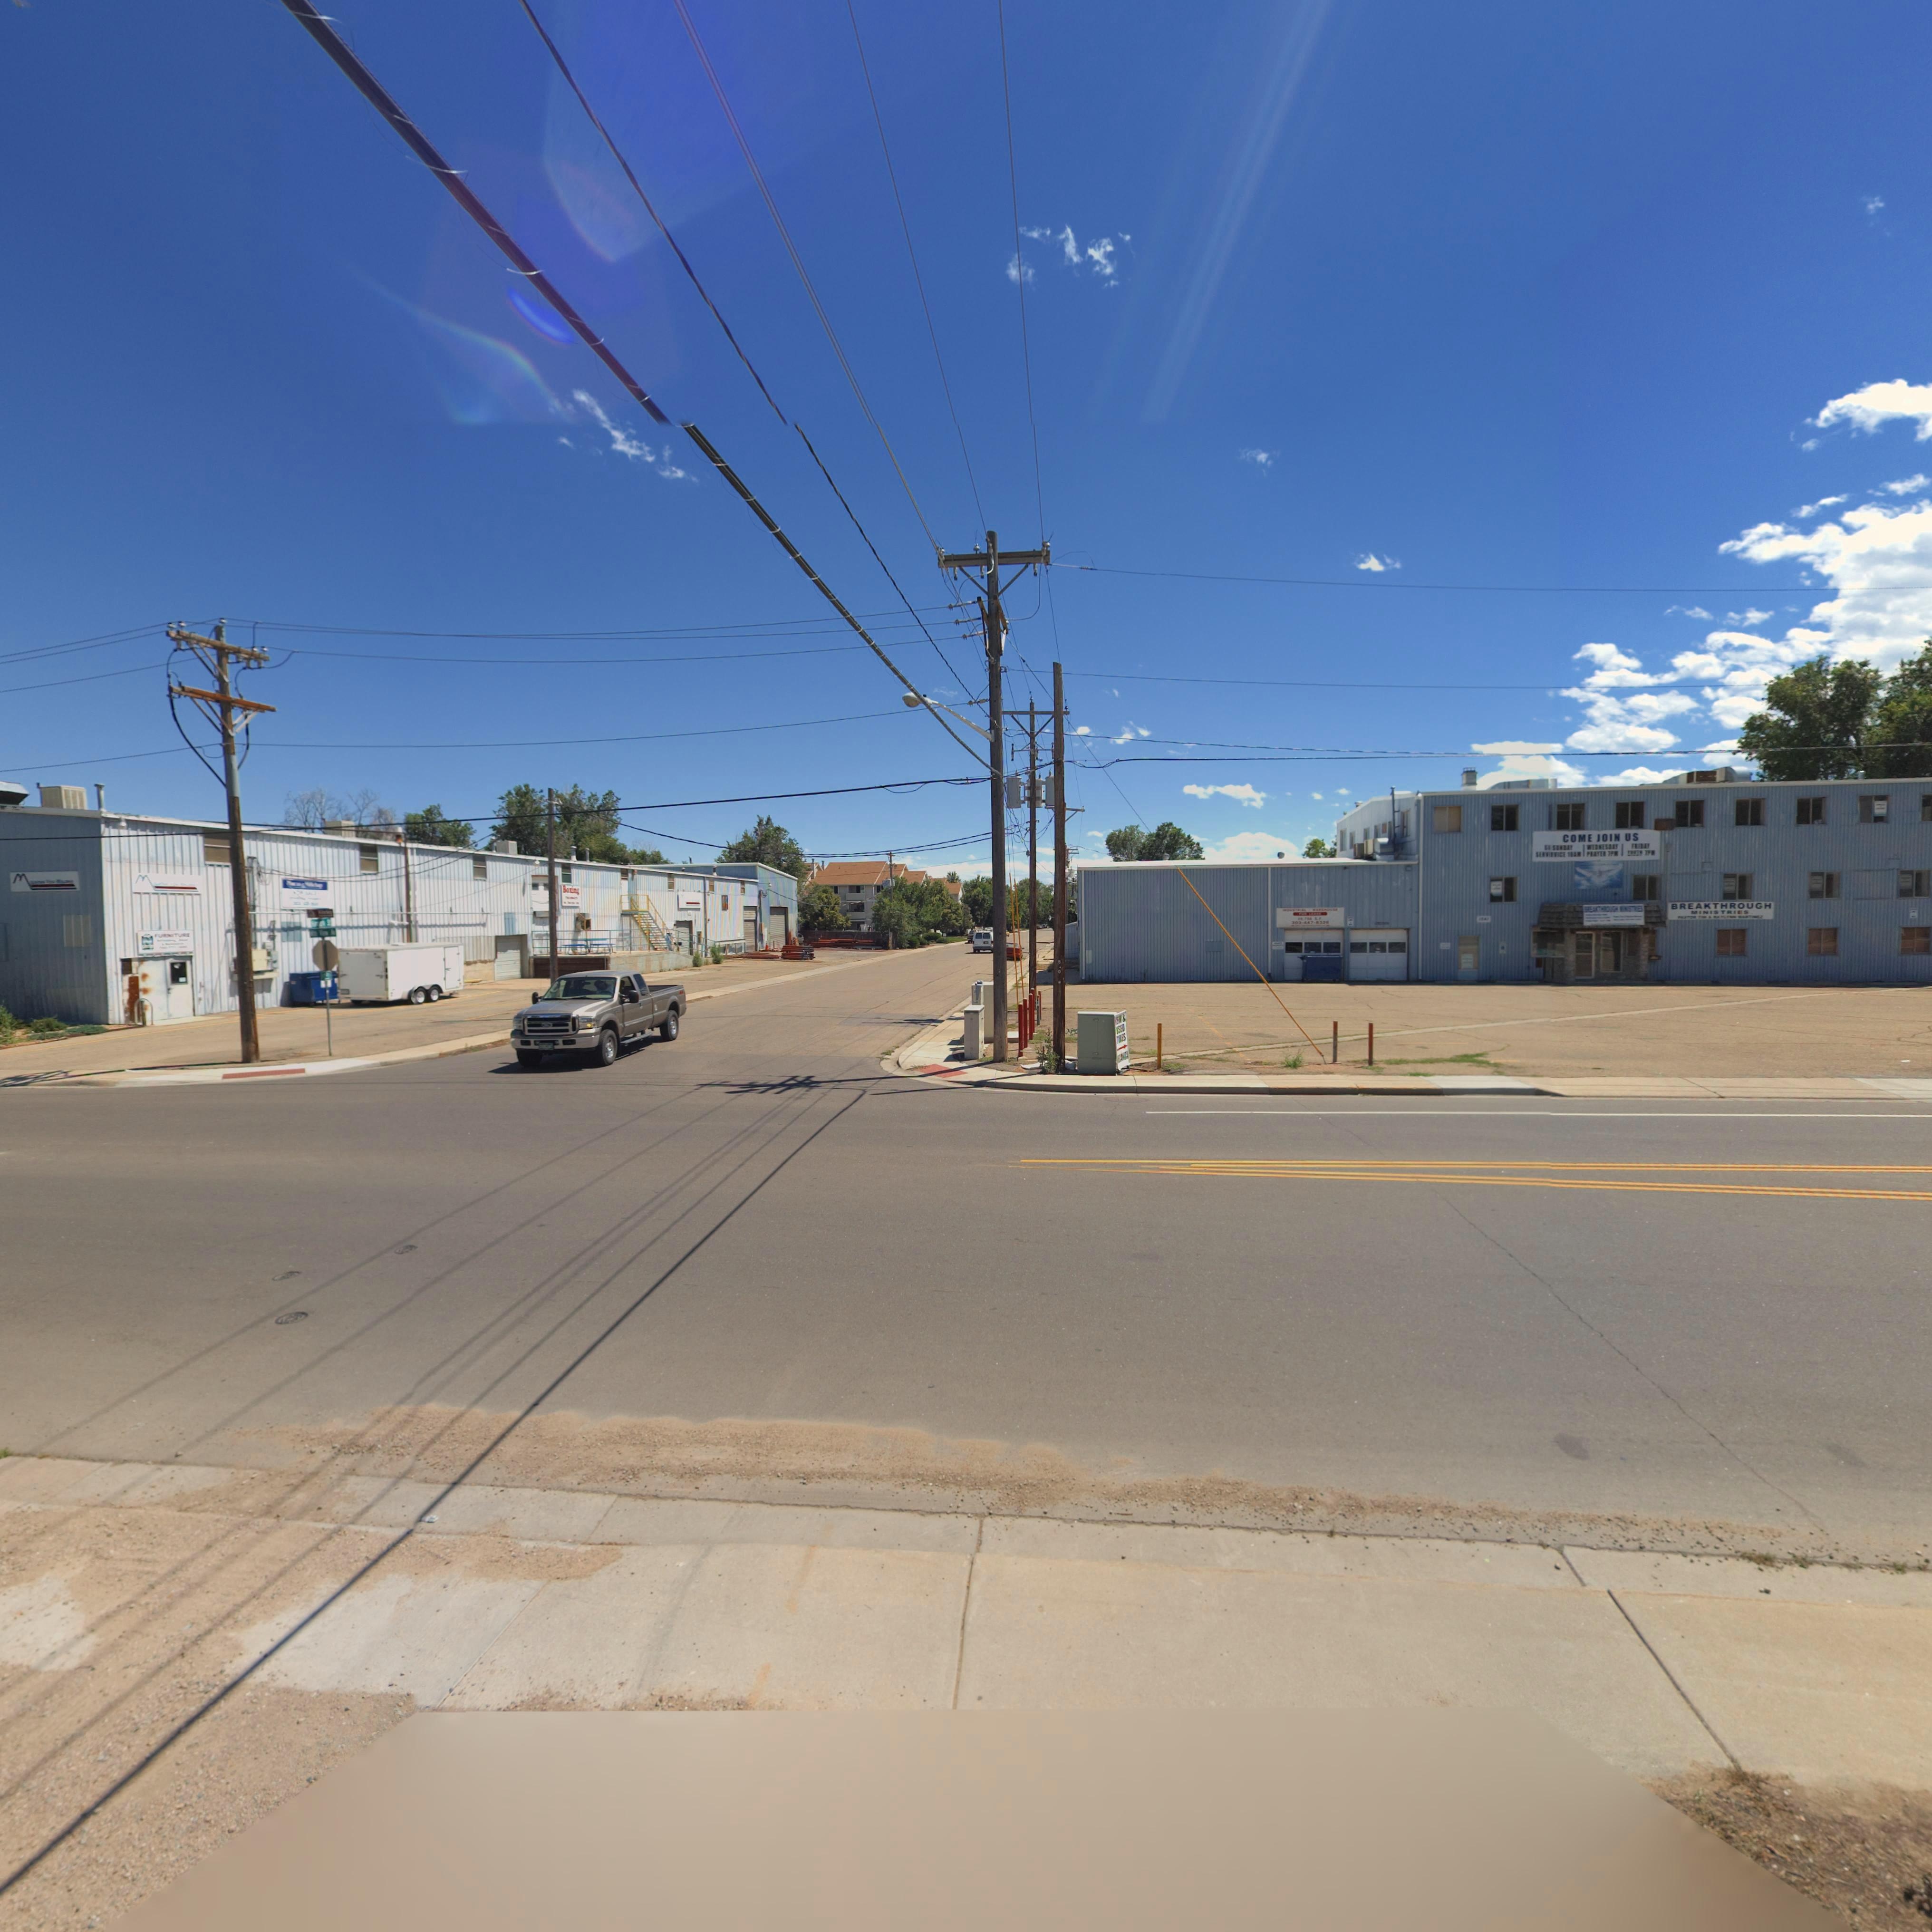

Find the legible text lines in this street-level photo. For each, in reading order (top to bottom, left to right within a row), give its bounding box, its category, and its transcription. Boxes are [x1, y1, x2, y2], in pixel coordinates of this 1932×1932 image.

[1671, 902, 1771, 909] BusinessName: BREAKTHROUGH
[1690, 909, 1748, 914] BusinessName: MINISTRI*S
[309, 928, 336, 937] StreetName: *** V*** **